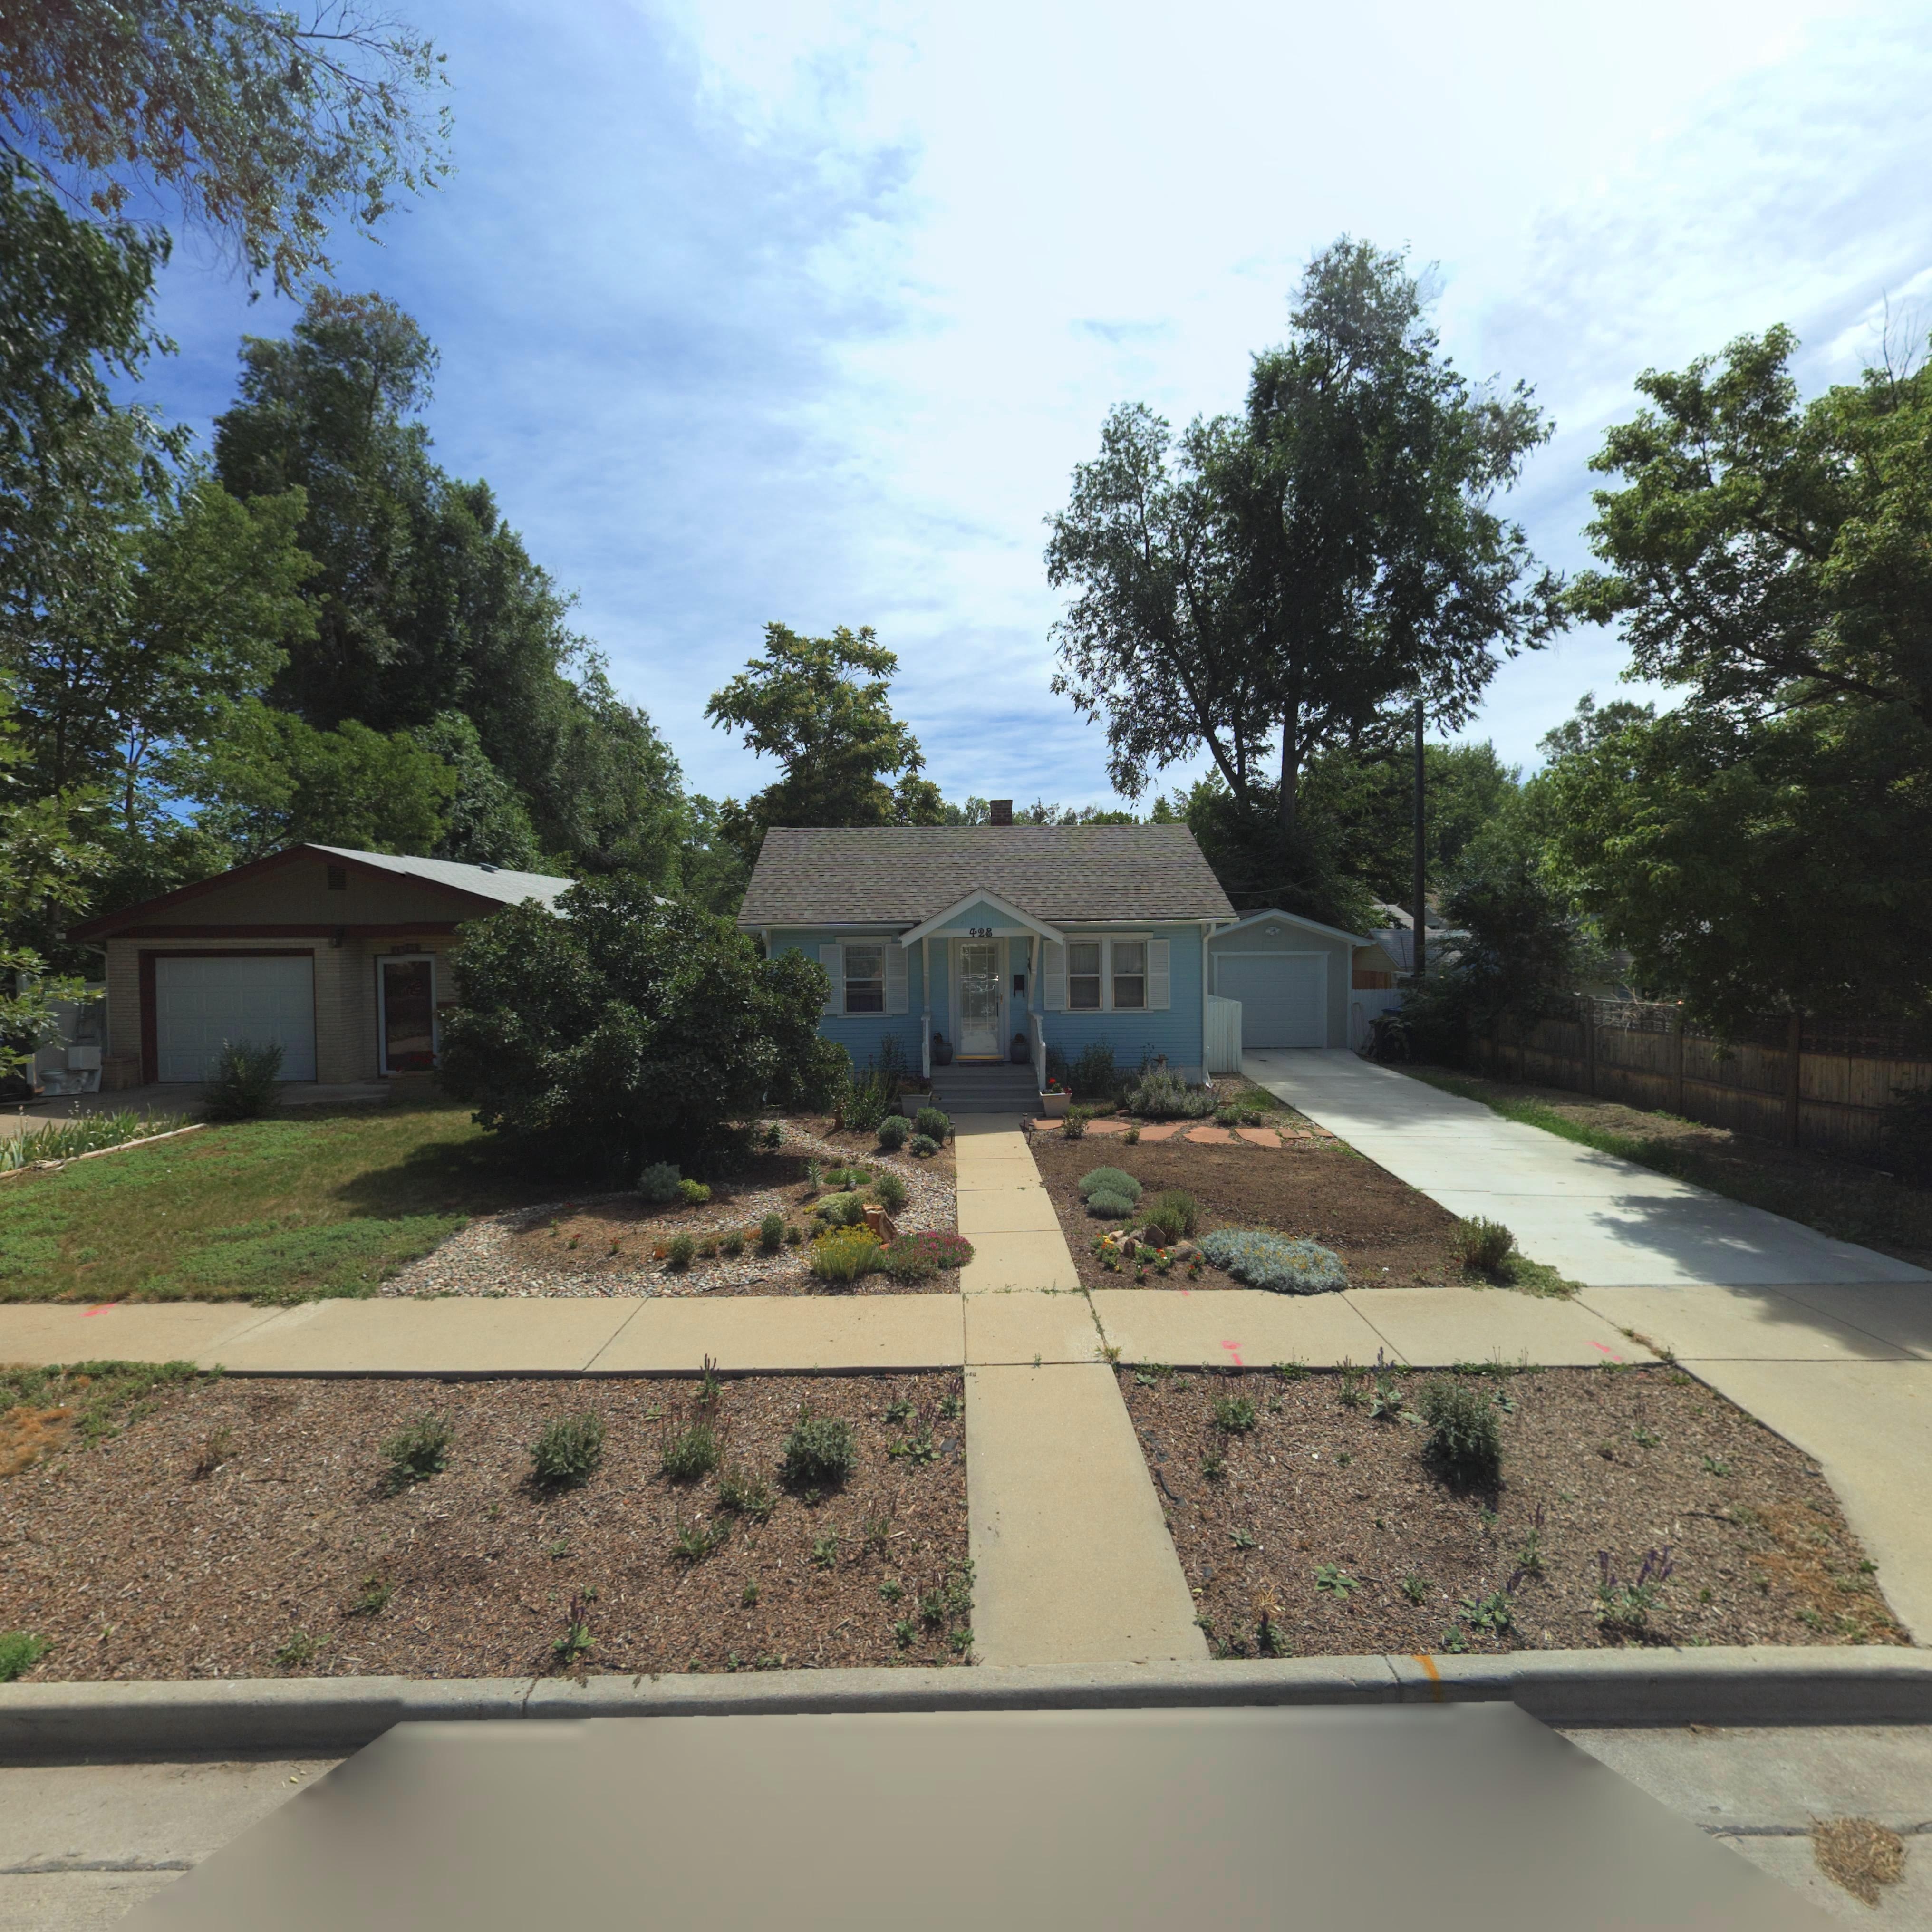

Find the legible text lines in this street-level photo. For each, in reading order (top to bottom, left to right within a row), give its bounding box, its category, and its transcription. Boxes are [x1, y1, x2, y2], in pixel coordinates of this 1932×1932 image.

[969, 927, 992, 937] StreetNumber: 428